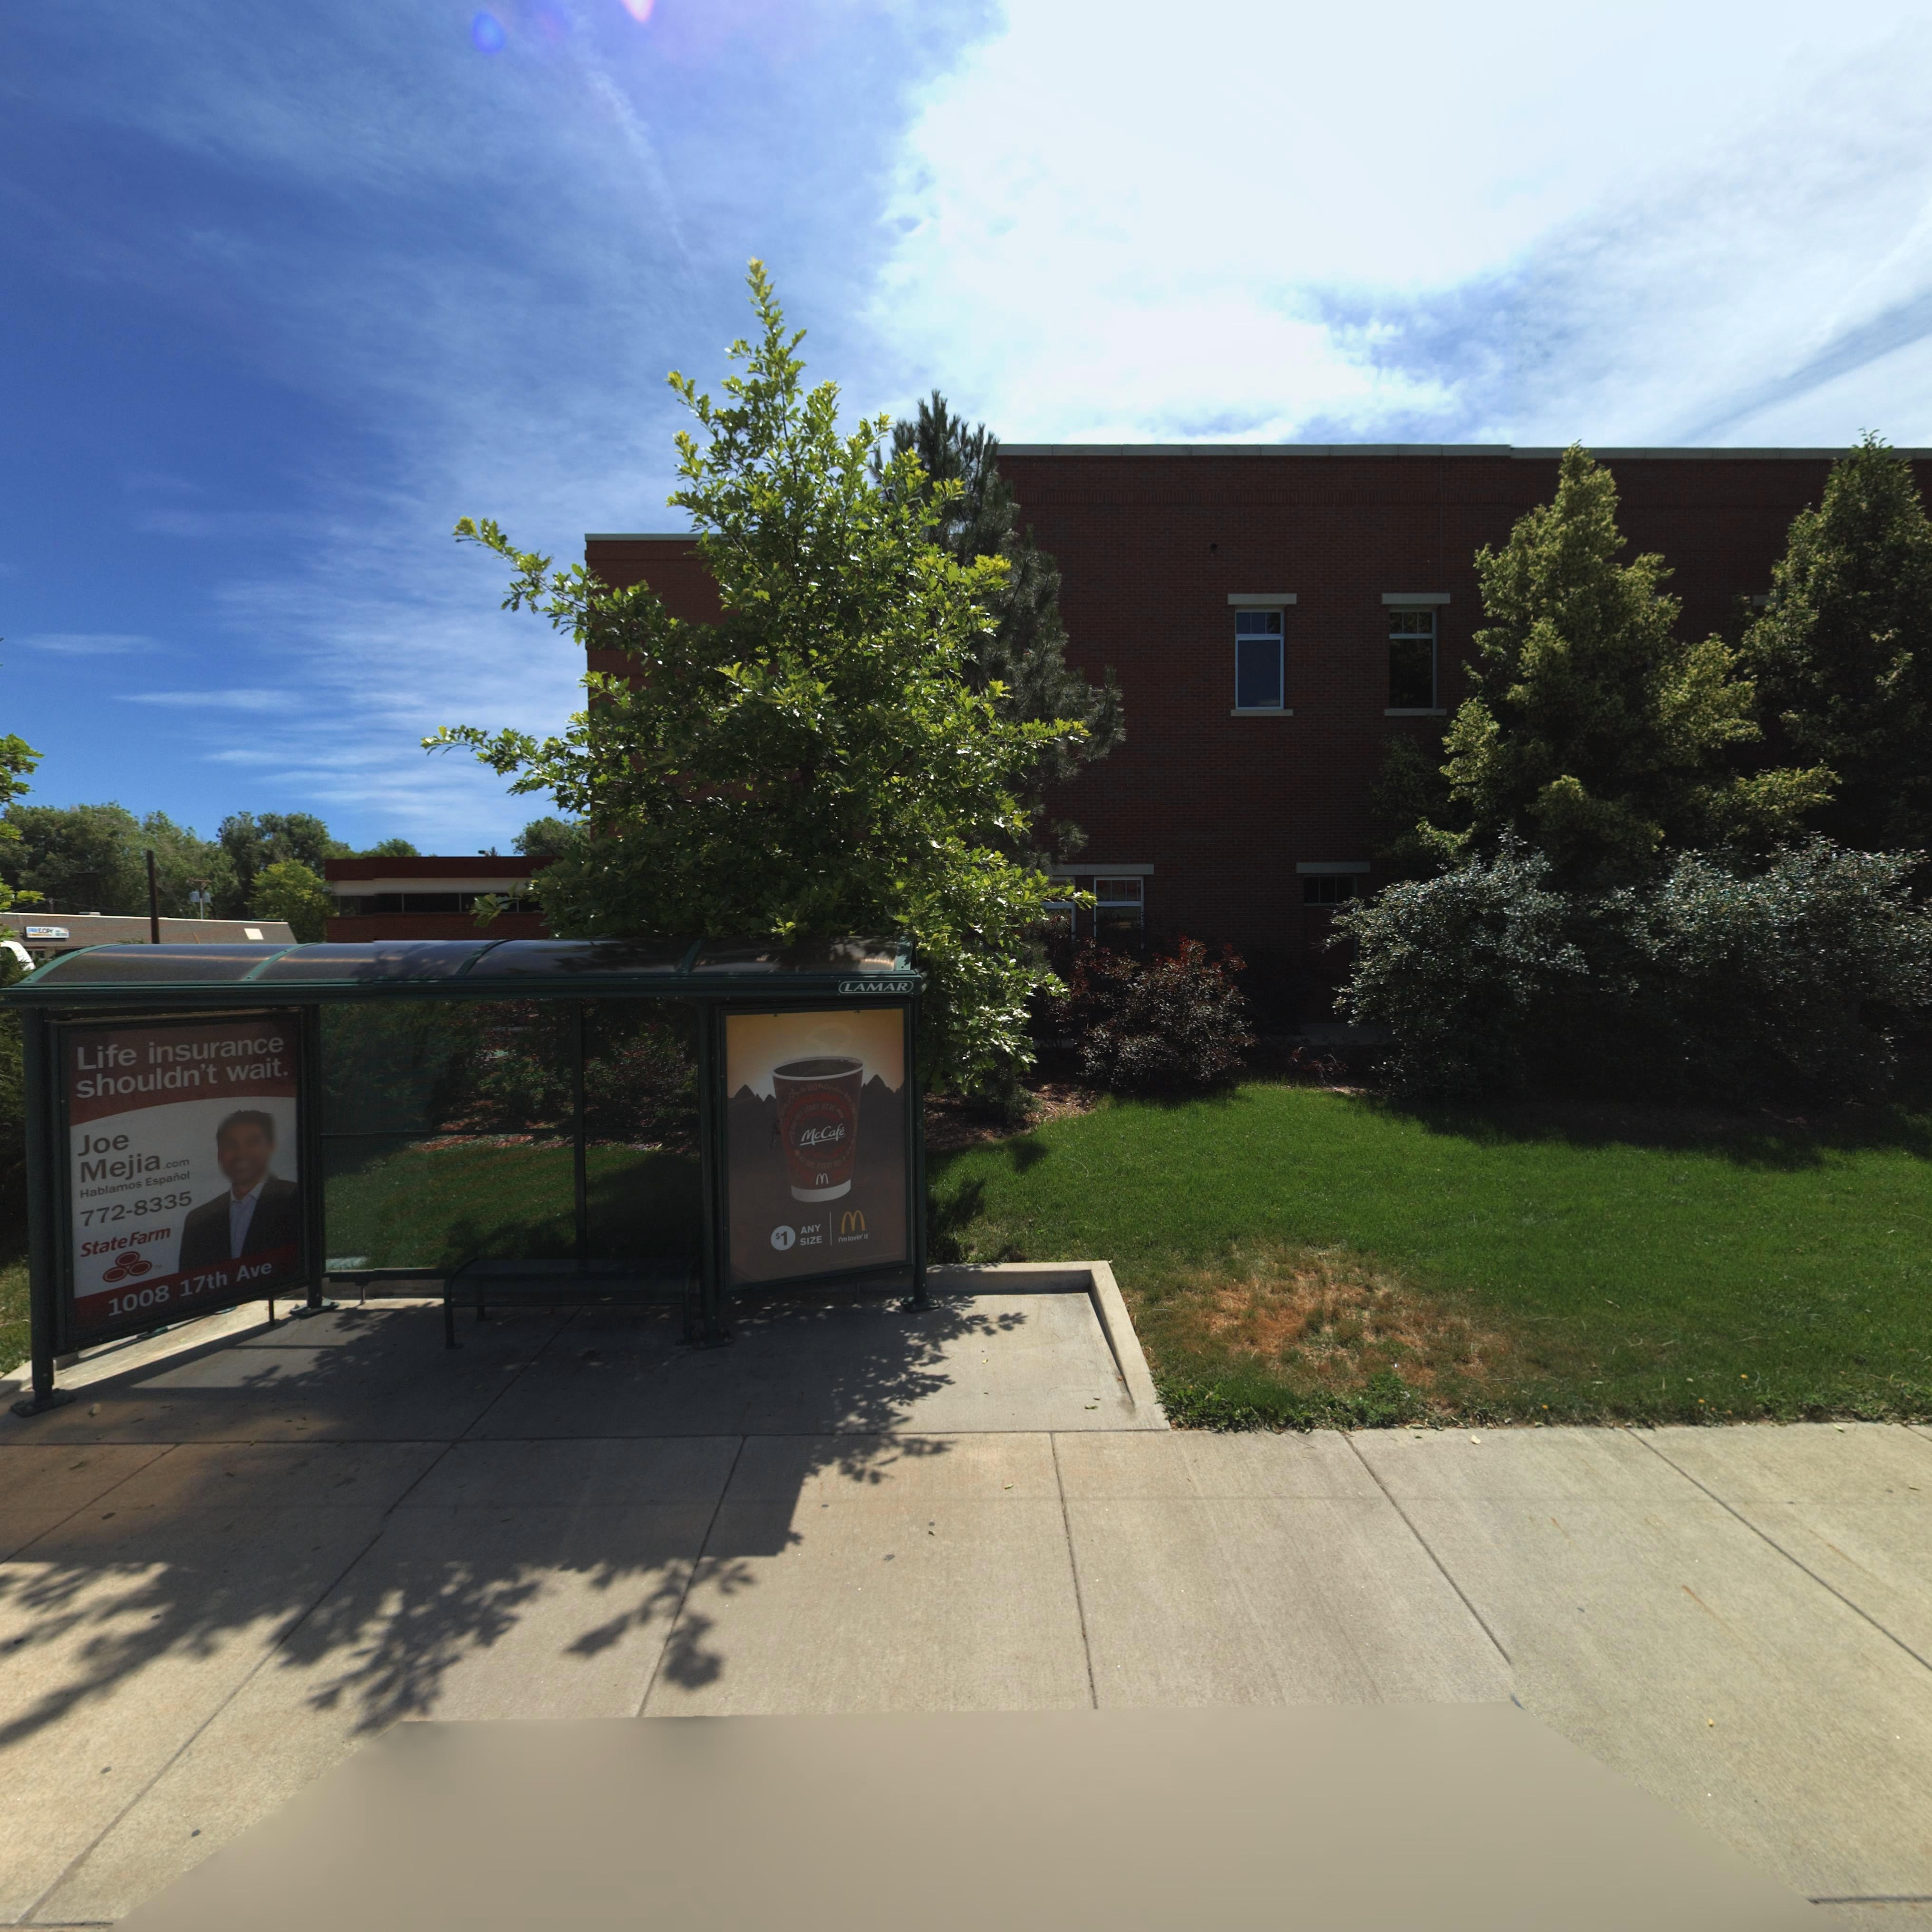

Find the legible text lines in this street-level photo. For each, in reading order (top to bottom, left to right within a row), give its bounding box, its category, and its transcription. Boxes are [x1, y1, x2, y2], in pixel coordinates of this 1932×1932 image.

[27, 928, 53, 934] BusinessName: ***ECPH
[179, 1261, 272, 1297] StreetName: 17th Ave